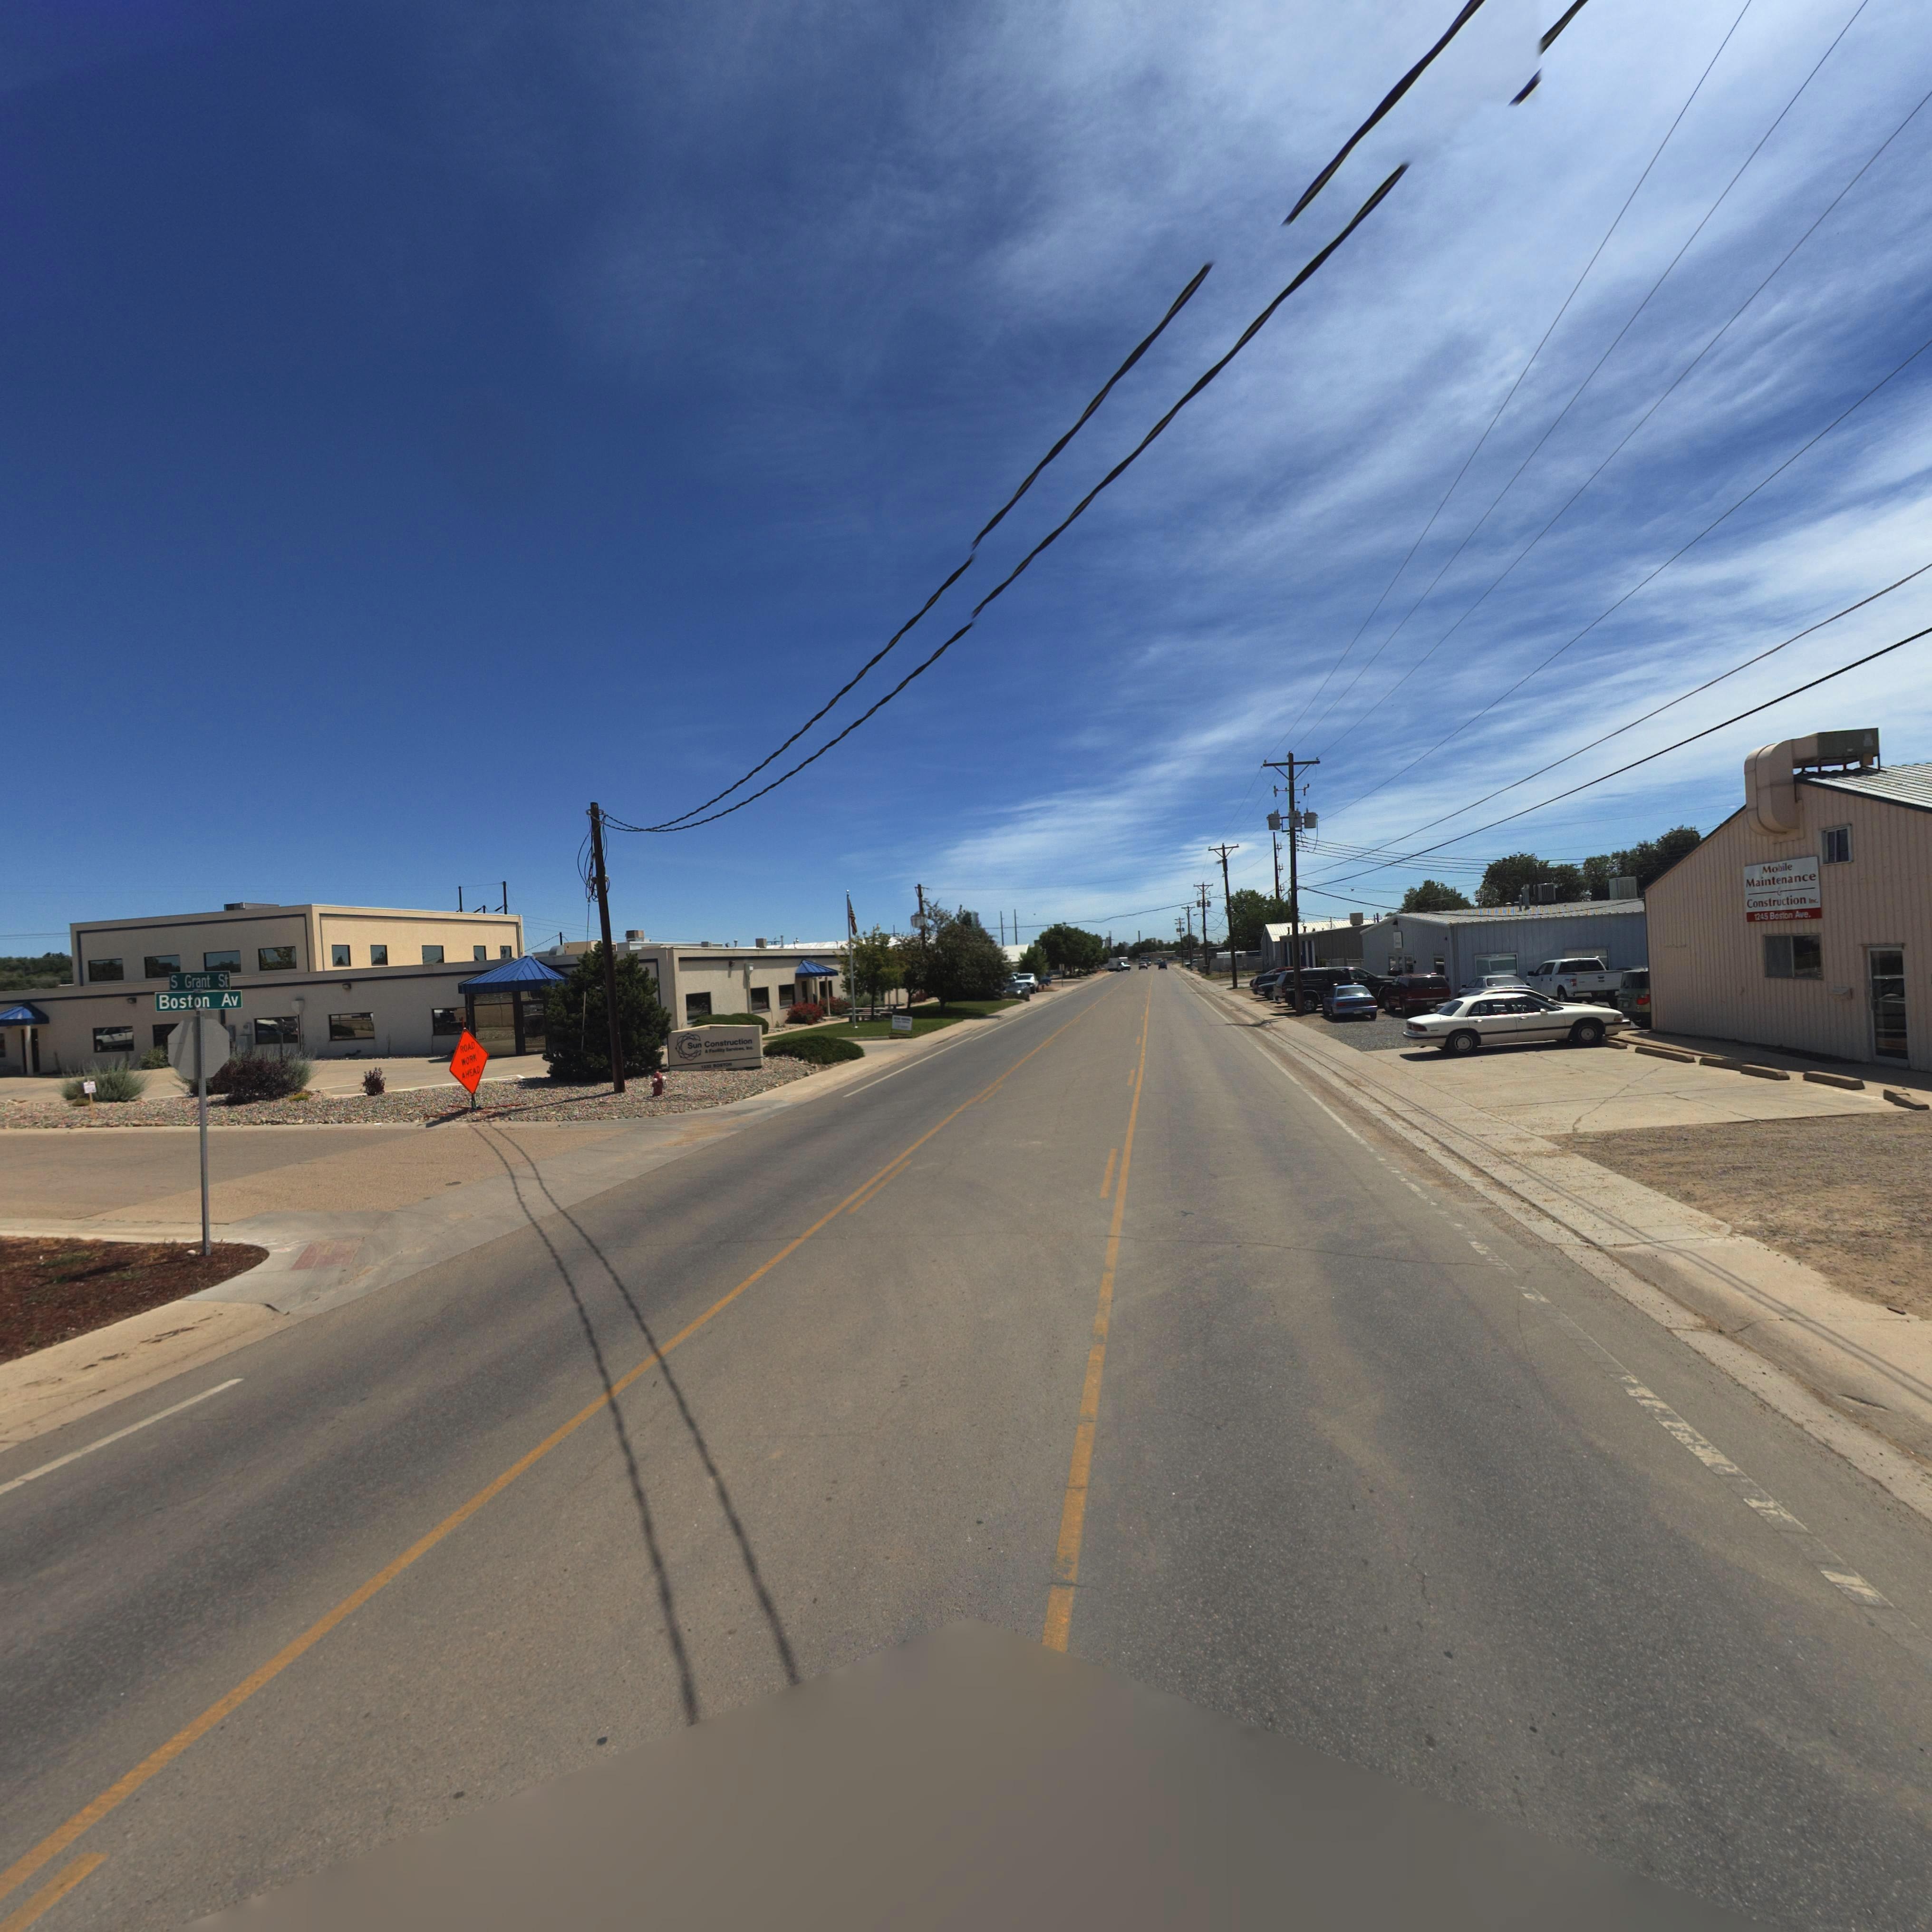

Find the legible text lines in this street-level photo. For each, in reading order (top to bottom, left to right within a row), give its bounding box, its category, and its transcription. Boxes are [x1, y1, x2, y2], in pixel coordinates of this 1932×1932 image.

[1760, 861, 1793, 874] BusinessName: Mobile
[1745, 872, 1817, 888] BusinessName: Maintenace
[1747, 894, 1819, 908] BusinessName: Construction Inc.
[170, 973, 229, 989] StreetName: S Grant St
[158, 992, 238, 1009] StreetName: Boston Av
[687, 1037, 752, 1049] BusinessName: Sun Construction
[700, 1063, 712, 1069] StreetNumber: 1232
[712, 1062, 732, 1068] StreetName: *OSTON